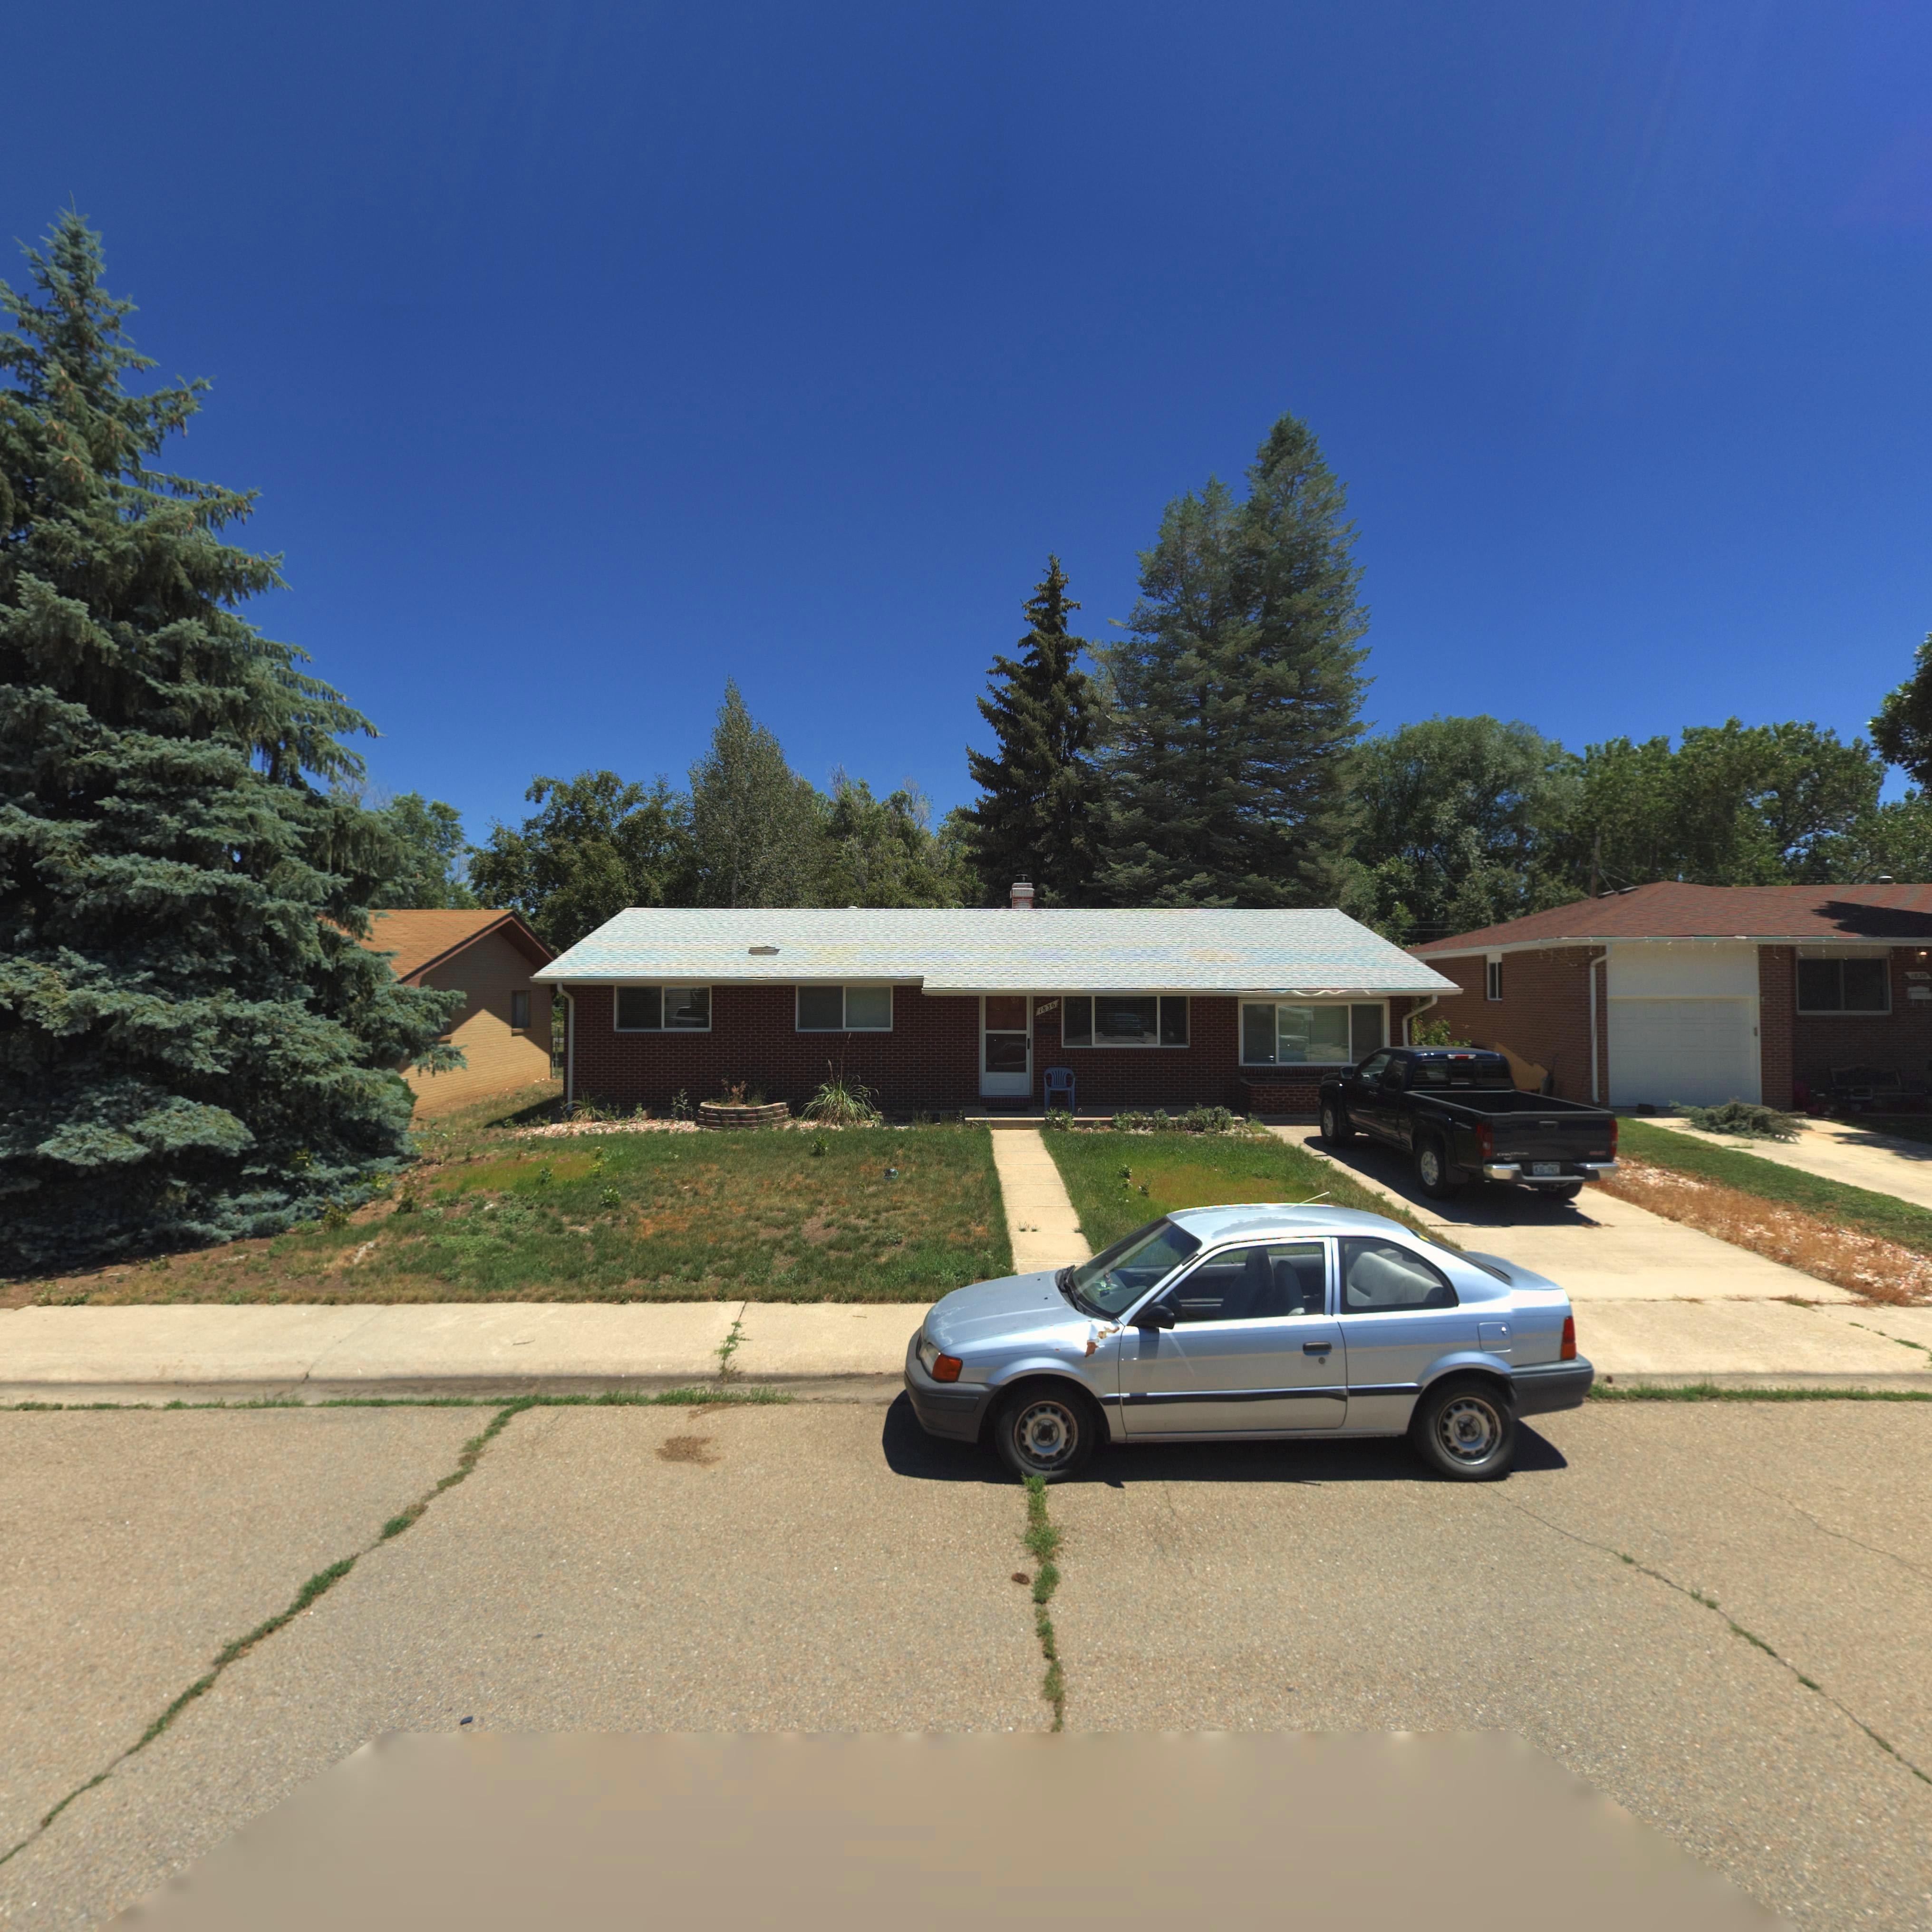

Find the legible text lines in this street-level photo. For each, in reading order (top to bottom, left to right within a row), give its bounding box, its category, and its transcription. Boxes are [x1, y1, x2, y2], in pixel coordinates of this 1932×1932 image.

[1039, 1001, 1055, 1013] StreetNumber: 1836